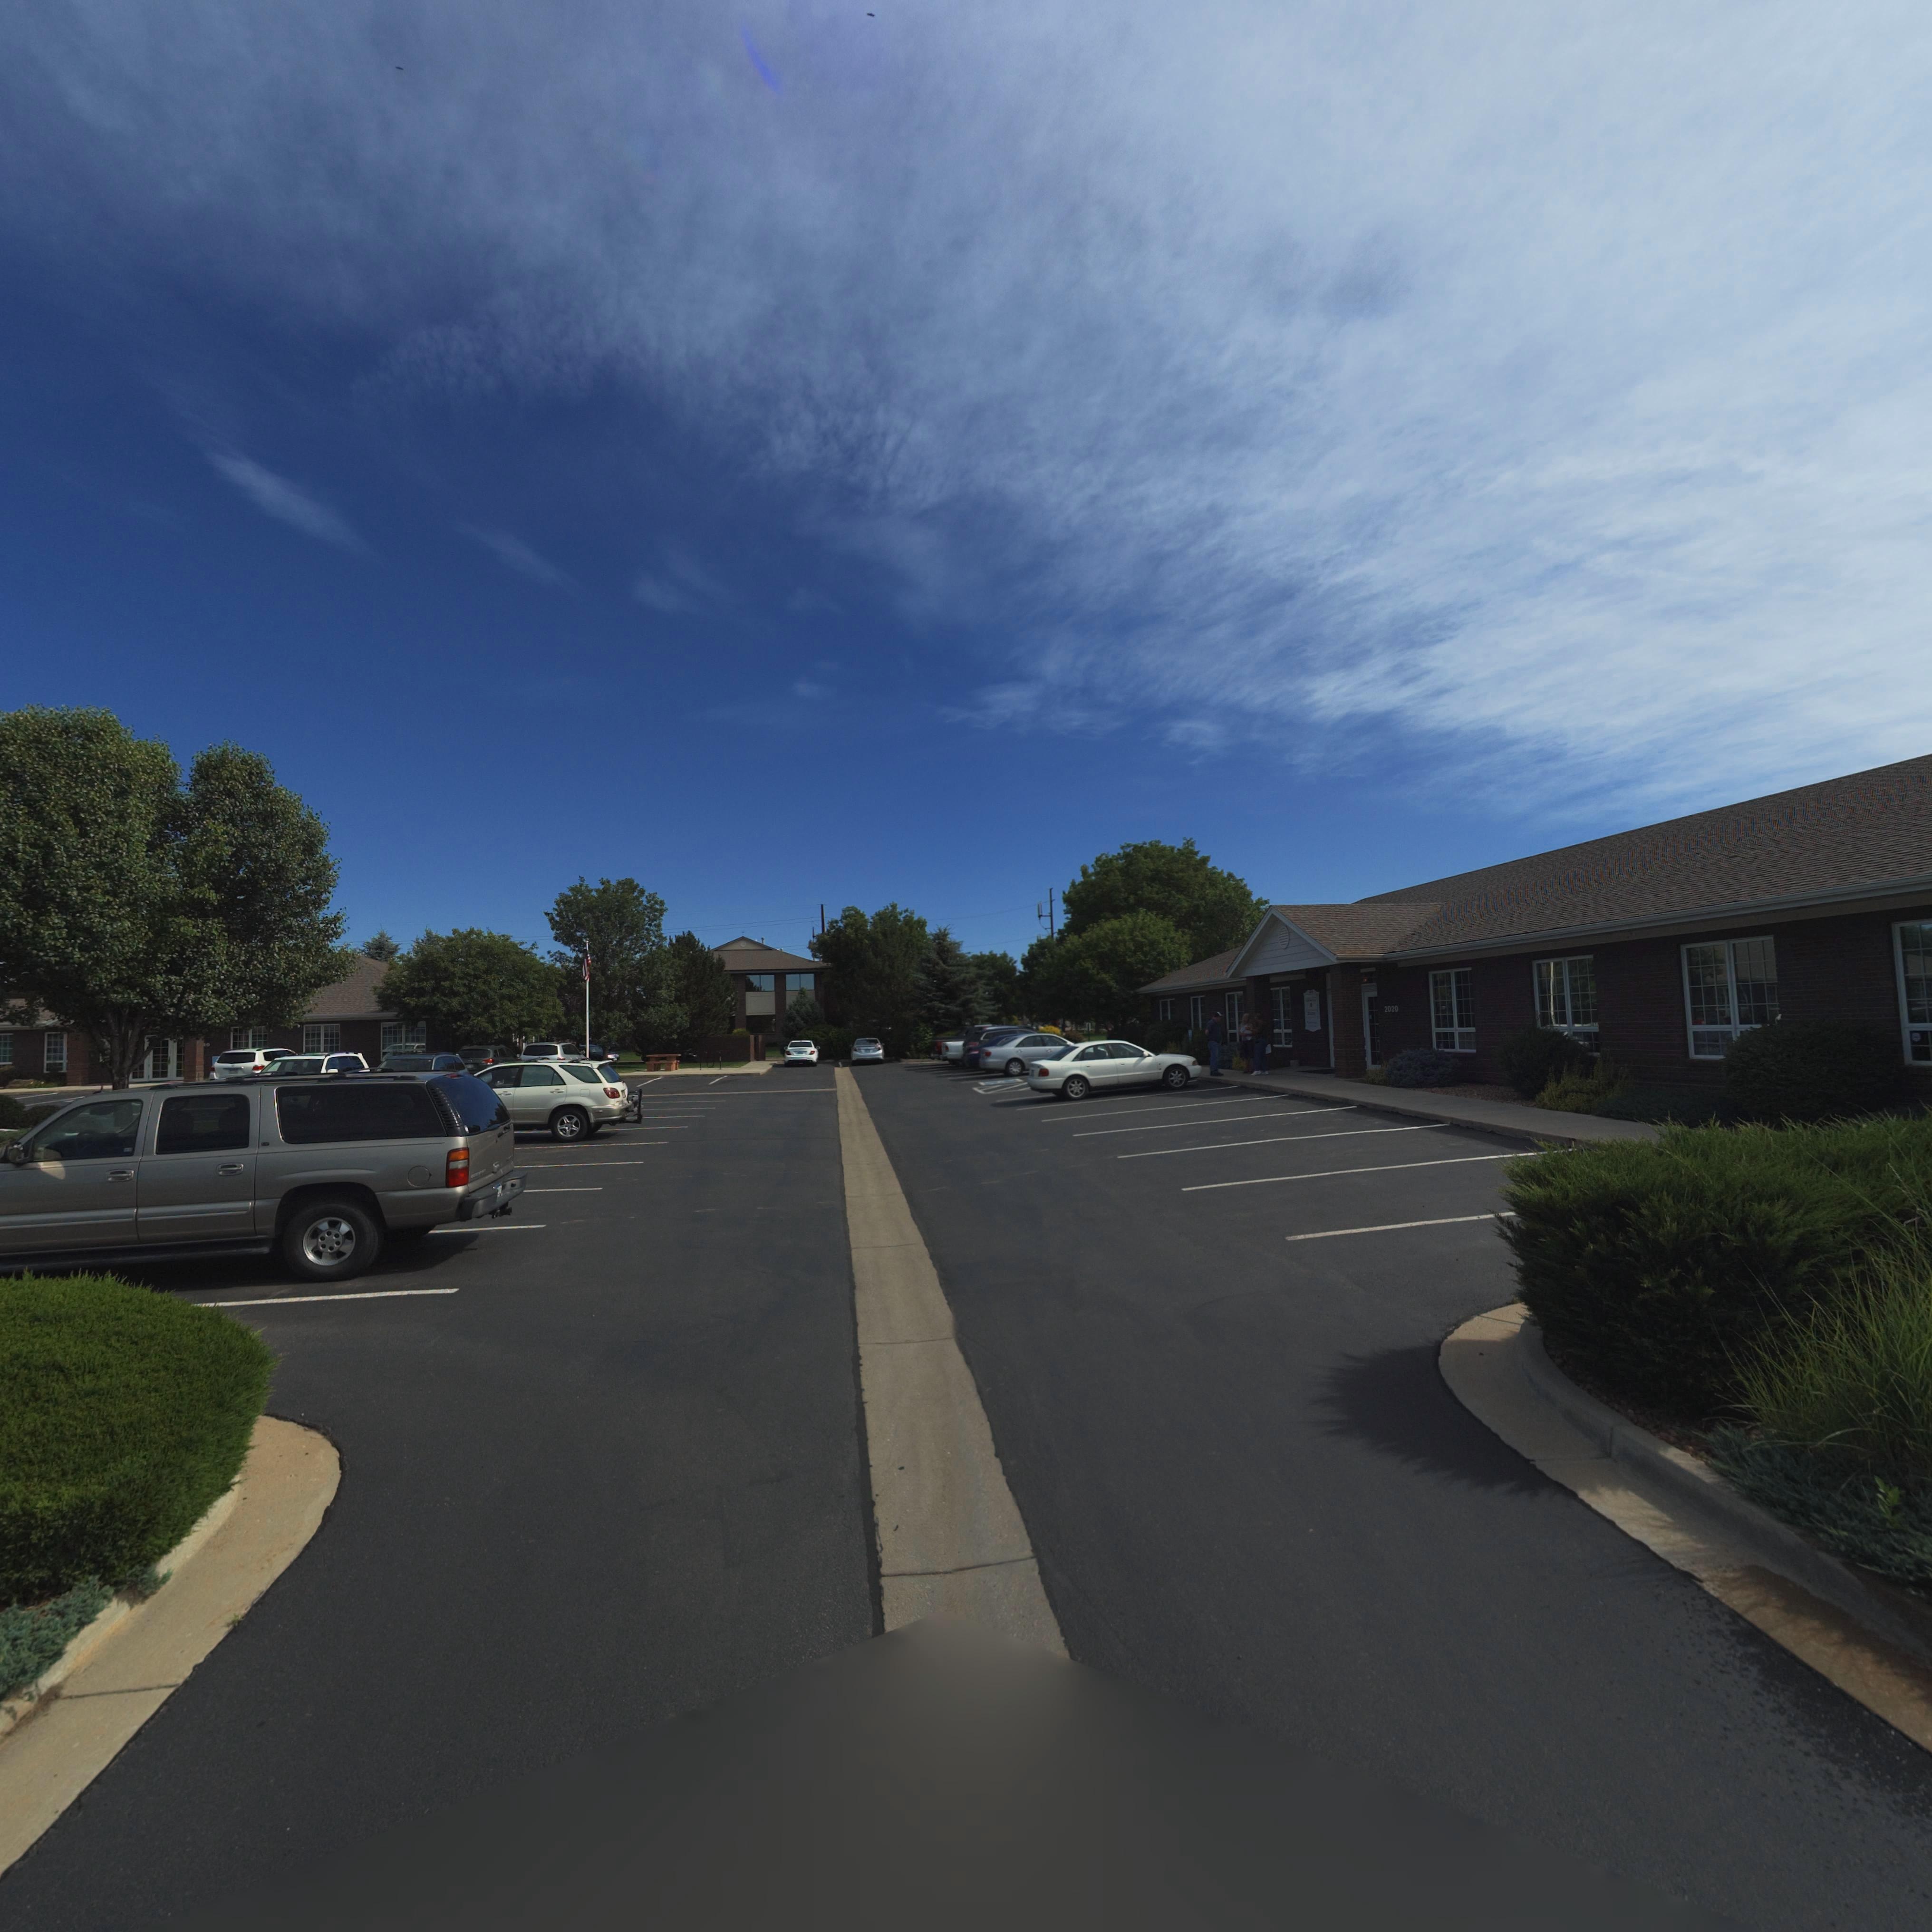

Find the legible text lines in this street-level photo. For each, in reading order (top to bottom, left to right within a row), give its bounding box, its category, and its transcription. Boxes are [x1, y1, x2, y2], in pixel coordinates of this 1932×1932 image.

[1384, 1005, 1399, 1013] StreetNumber: 2020
[203, 1042, 210, 1047] None: *0